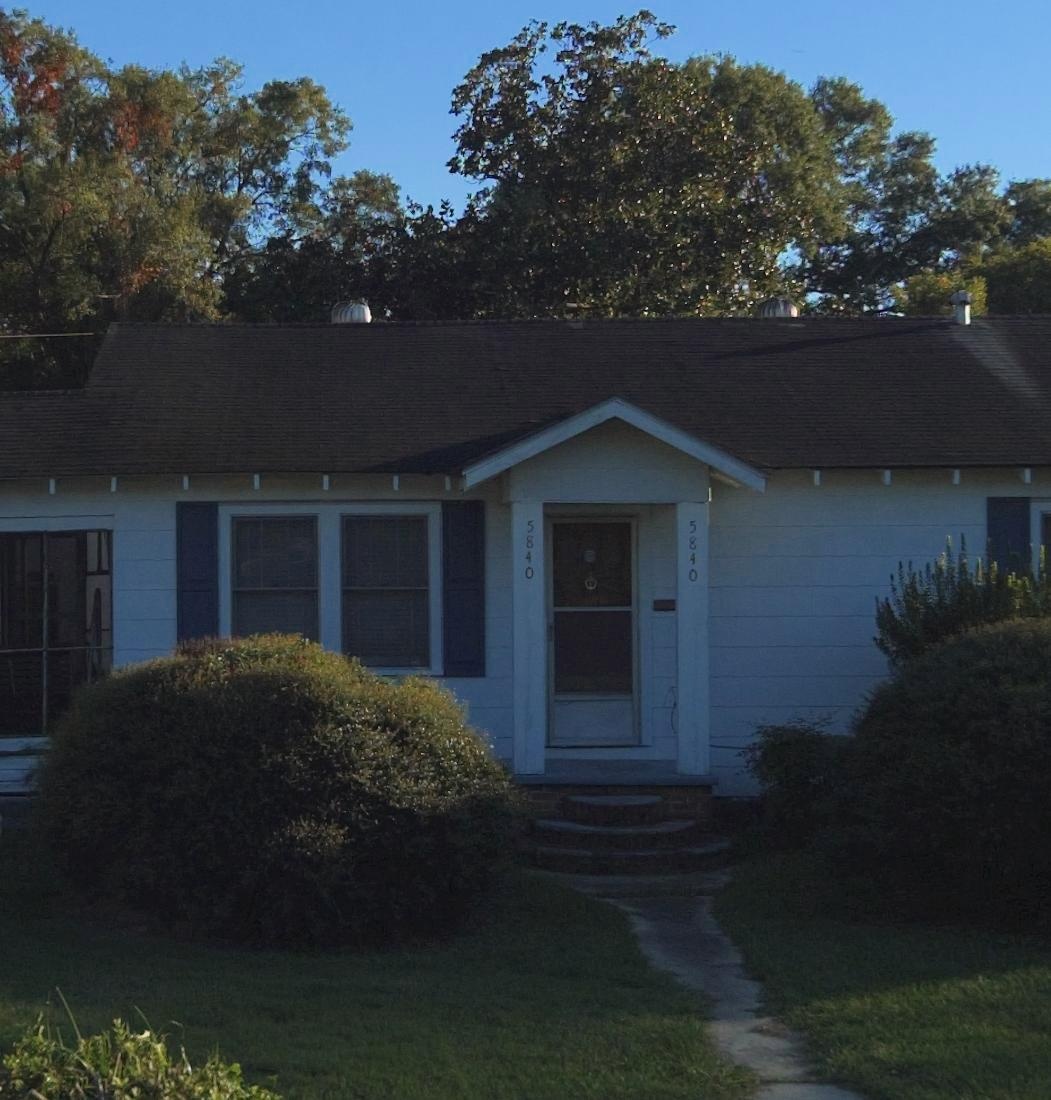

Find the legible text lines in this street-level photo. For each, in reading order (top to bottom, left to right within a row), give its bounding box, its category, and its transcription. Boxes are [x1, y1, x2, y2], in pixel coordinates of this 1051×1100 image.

[523, 519, 537, 581] StreetNumber: 5840
[687, 519, 699, 583] StreetNumber: 5840